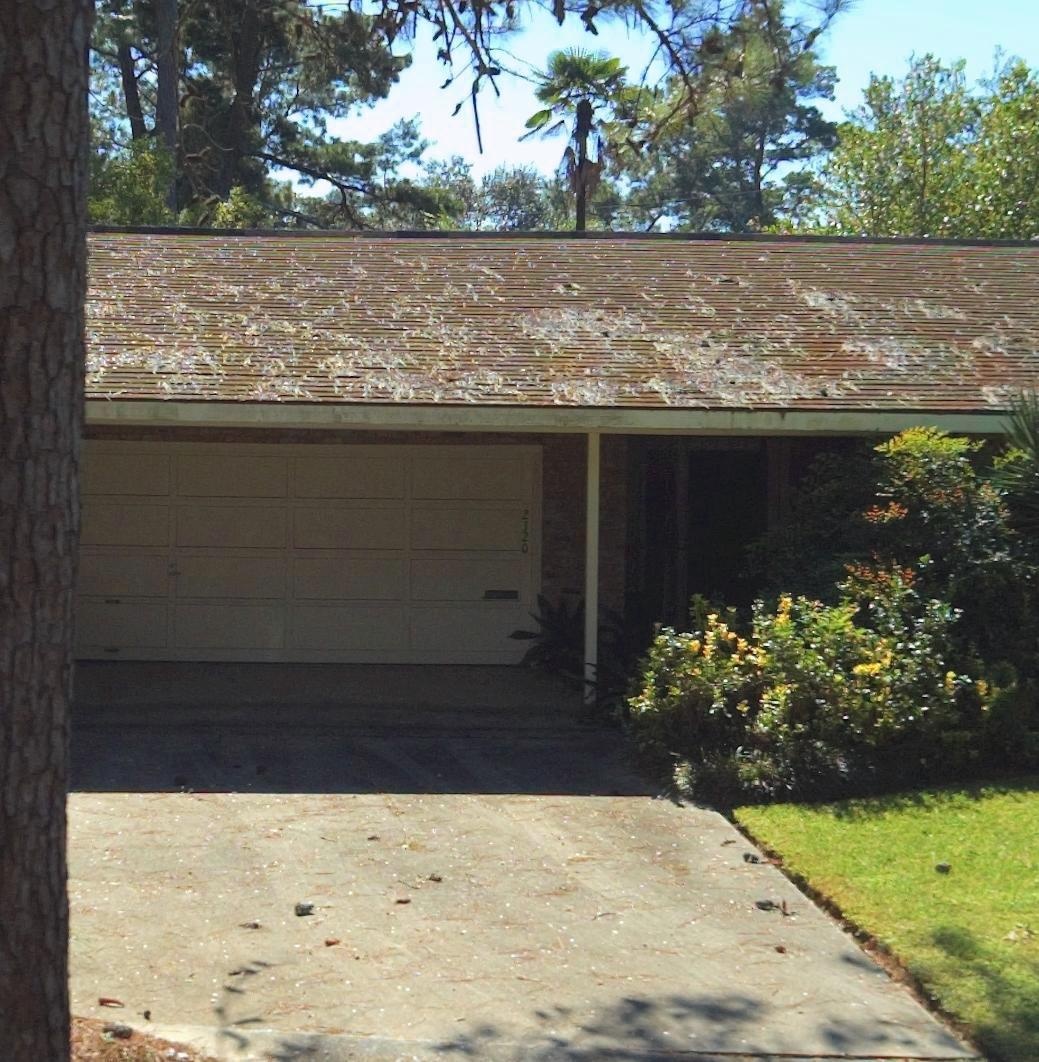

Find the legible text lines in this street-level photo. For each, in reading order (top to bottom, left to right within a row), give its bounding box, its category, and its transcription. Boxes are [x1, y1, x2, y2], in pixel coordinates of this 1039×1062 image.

[519, 507, 531, 556] StreetNumber: 2320